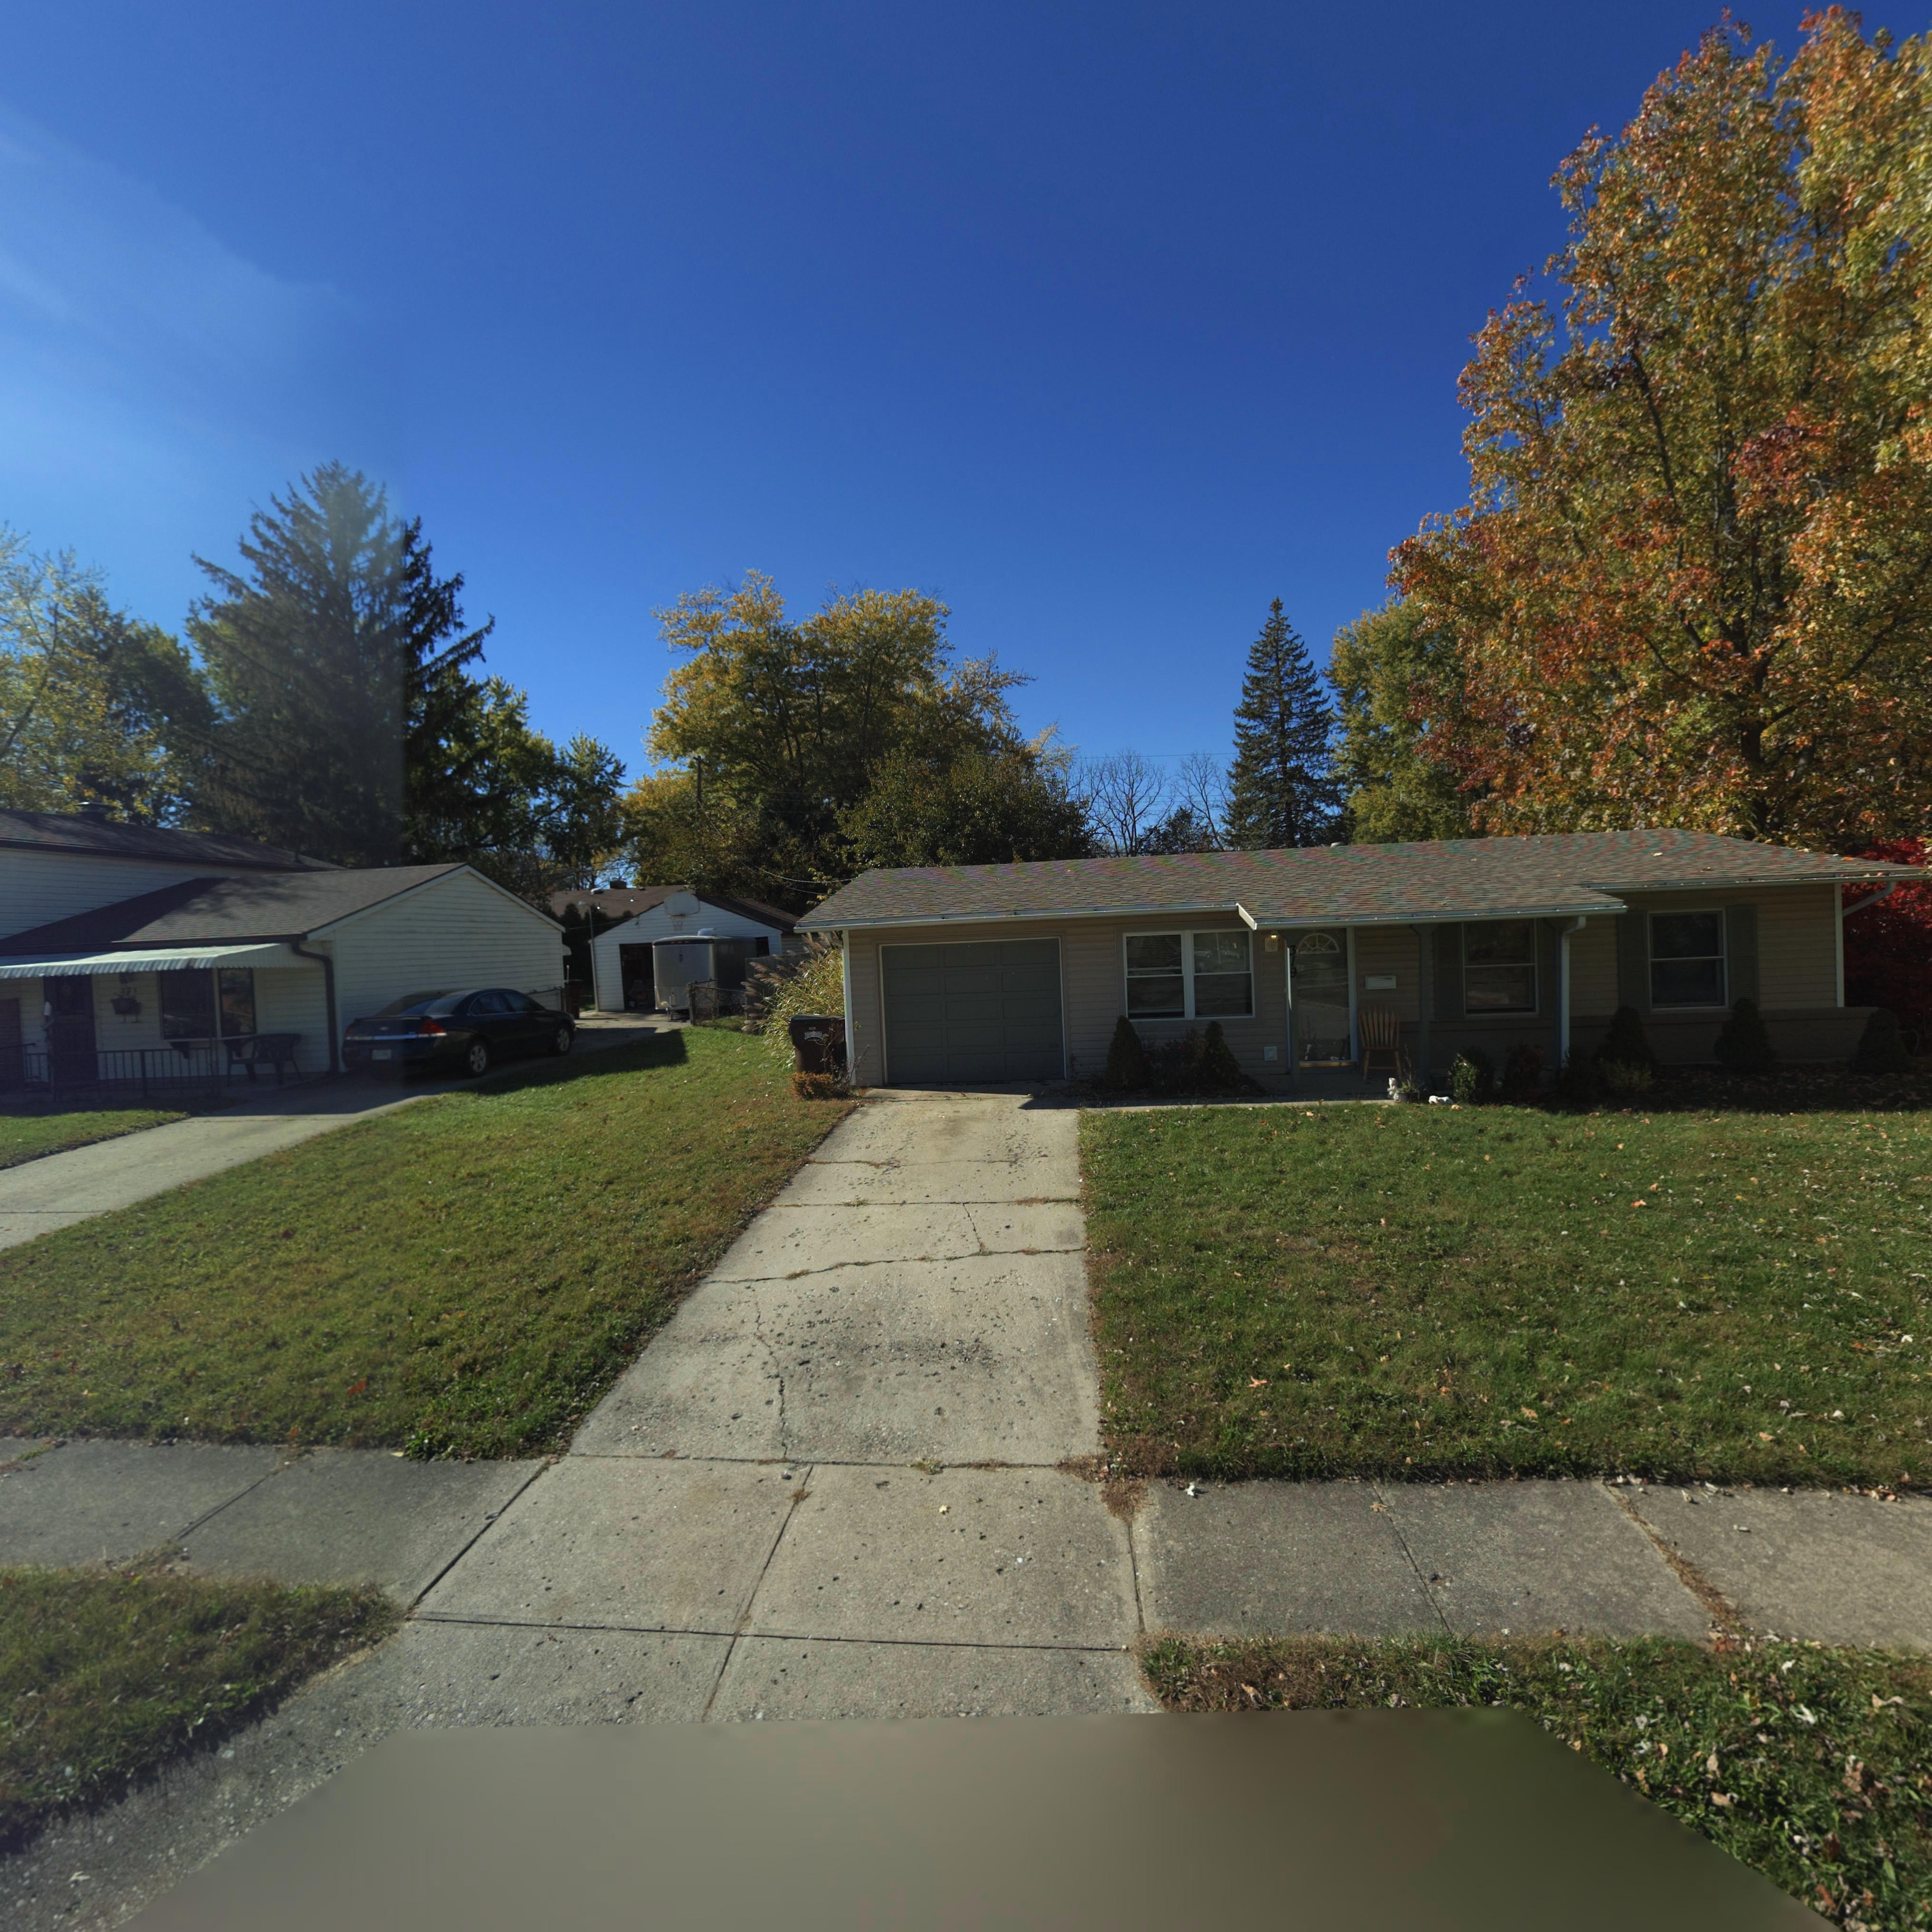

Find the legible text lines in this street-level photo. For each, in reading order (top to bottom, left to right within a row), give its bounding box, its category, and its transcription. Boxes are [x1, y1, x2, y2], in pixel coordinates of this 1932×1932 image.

[1288, 944, 1298, 979] StreetNumber: 319